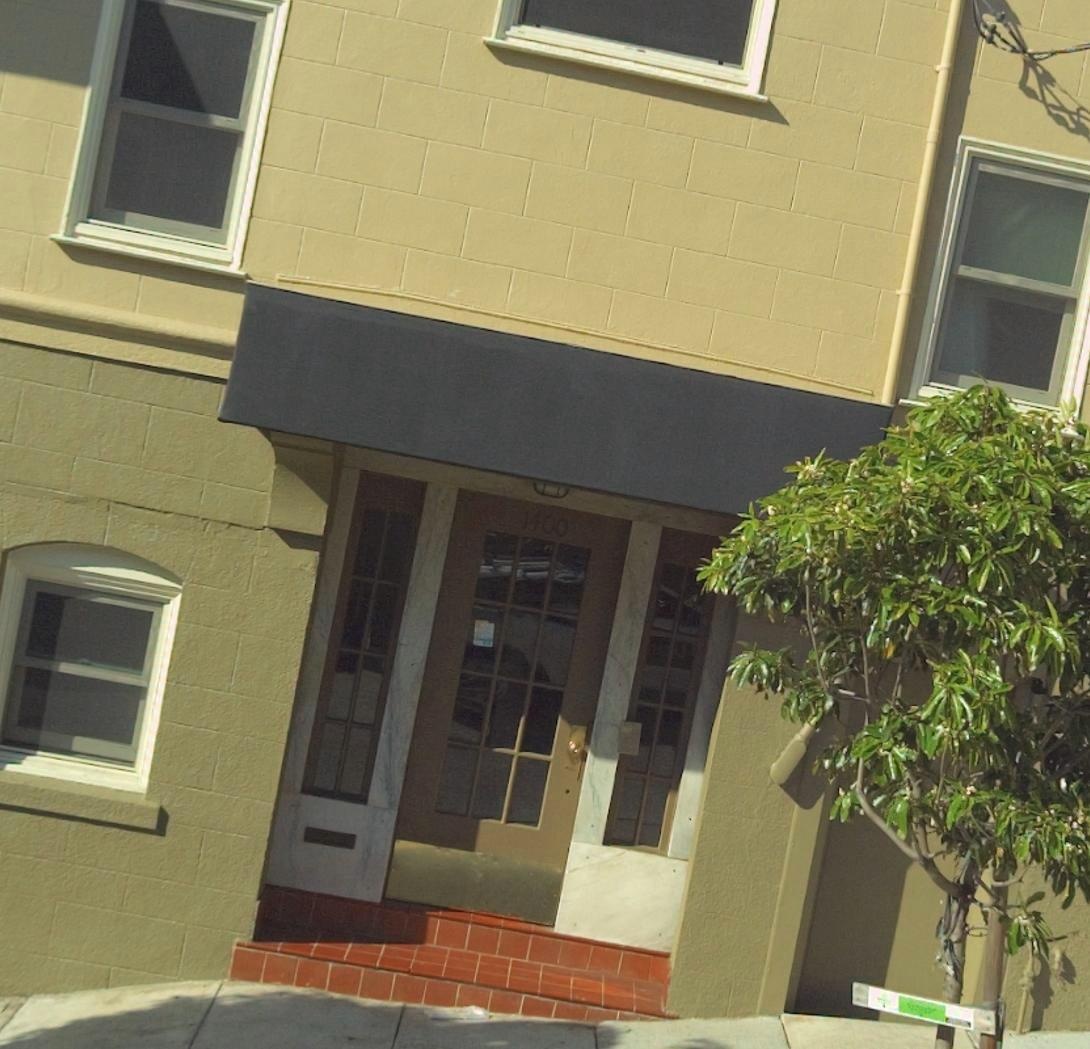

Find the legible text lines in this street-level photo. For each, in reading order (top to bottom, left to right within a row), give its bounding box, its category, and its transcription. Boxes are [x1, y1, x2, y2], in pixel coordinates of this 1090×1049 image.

[519, 508, 572, 541] StreetNumber: 1400